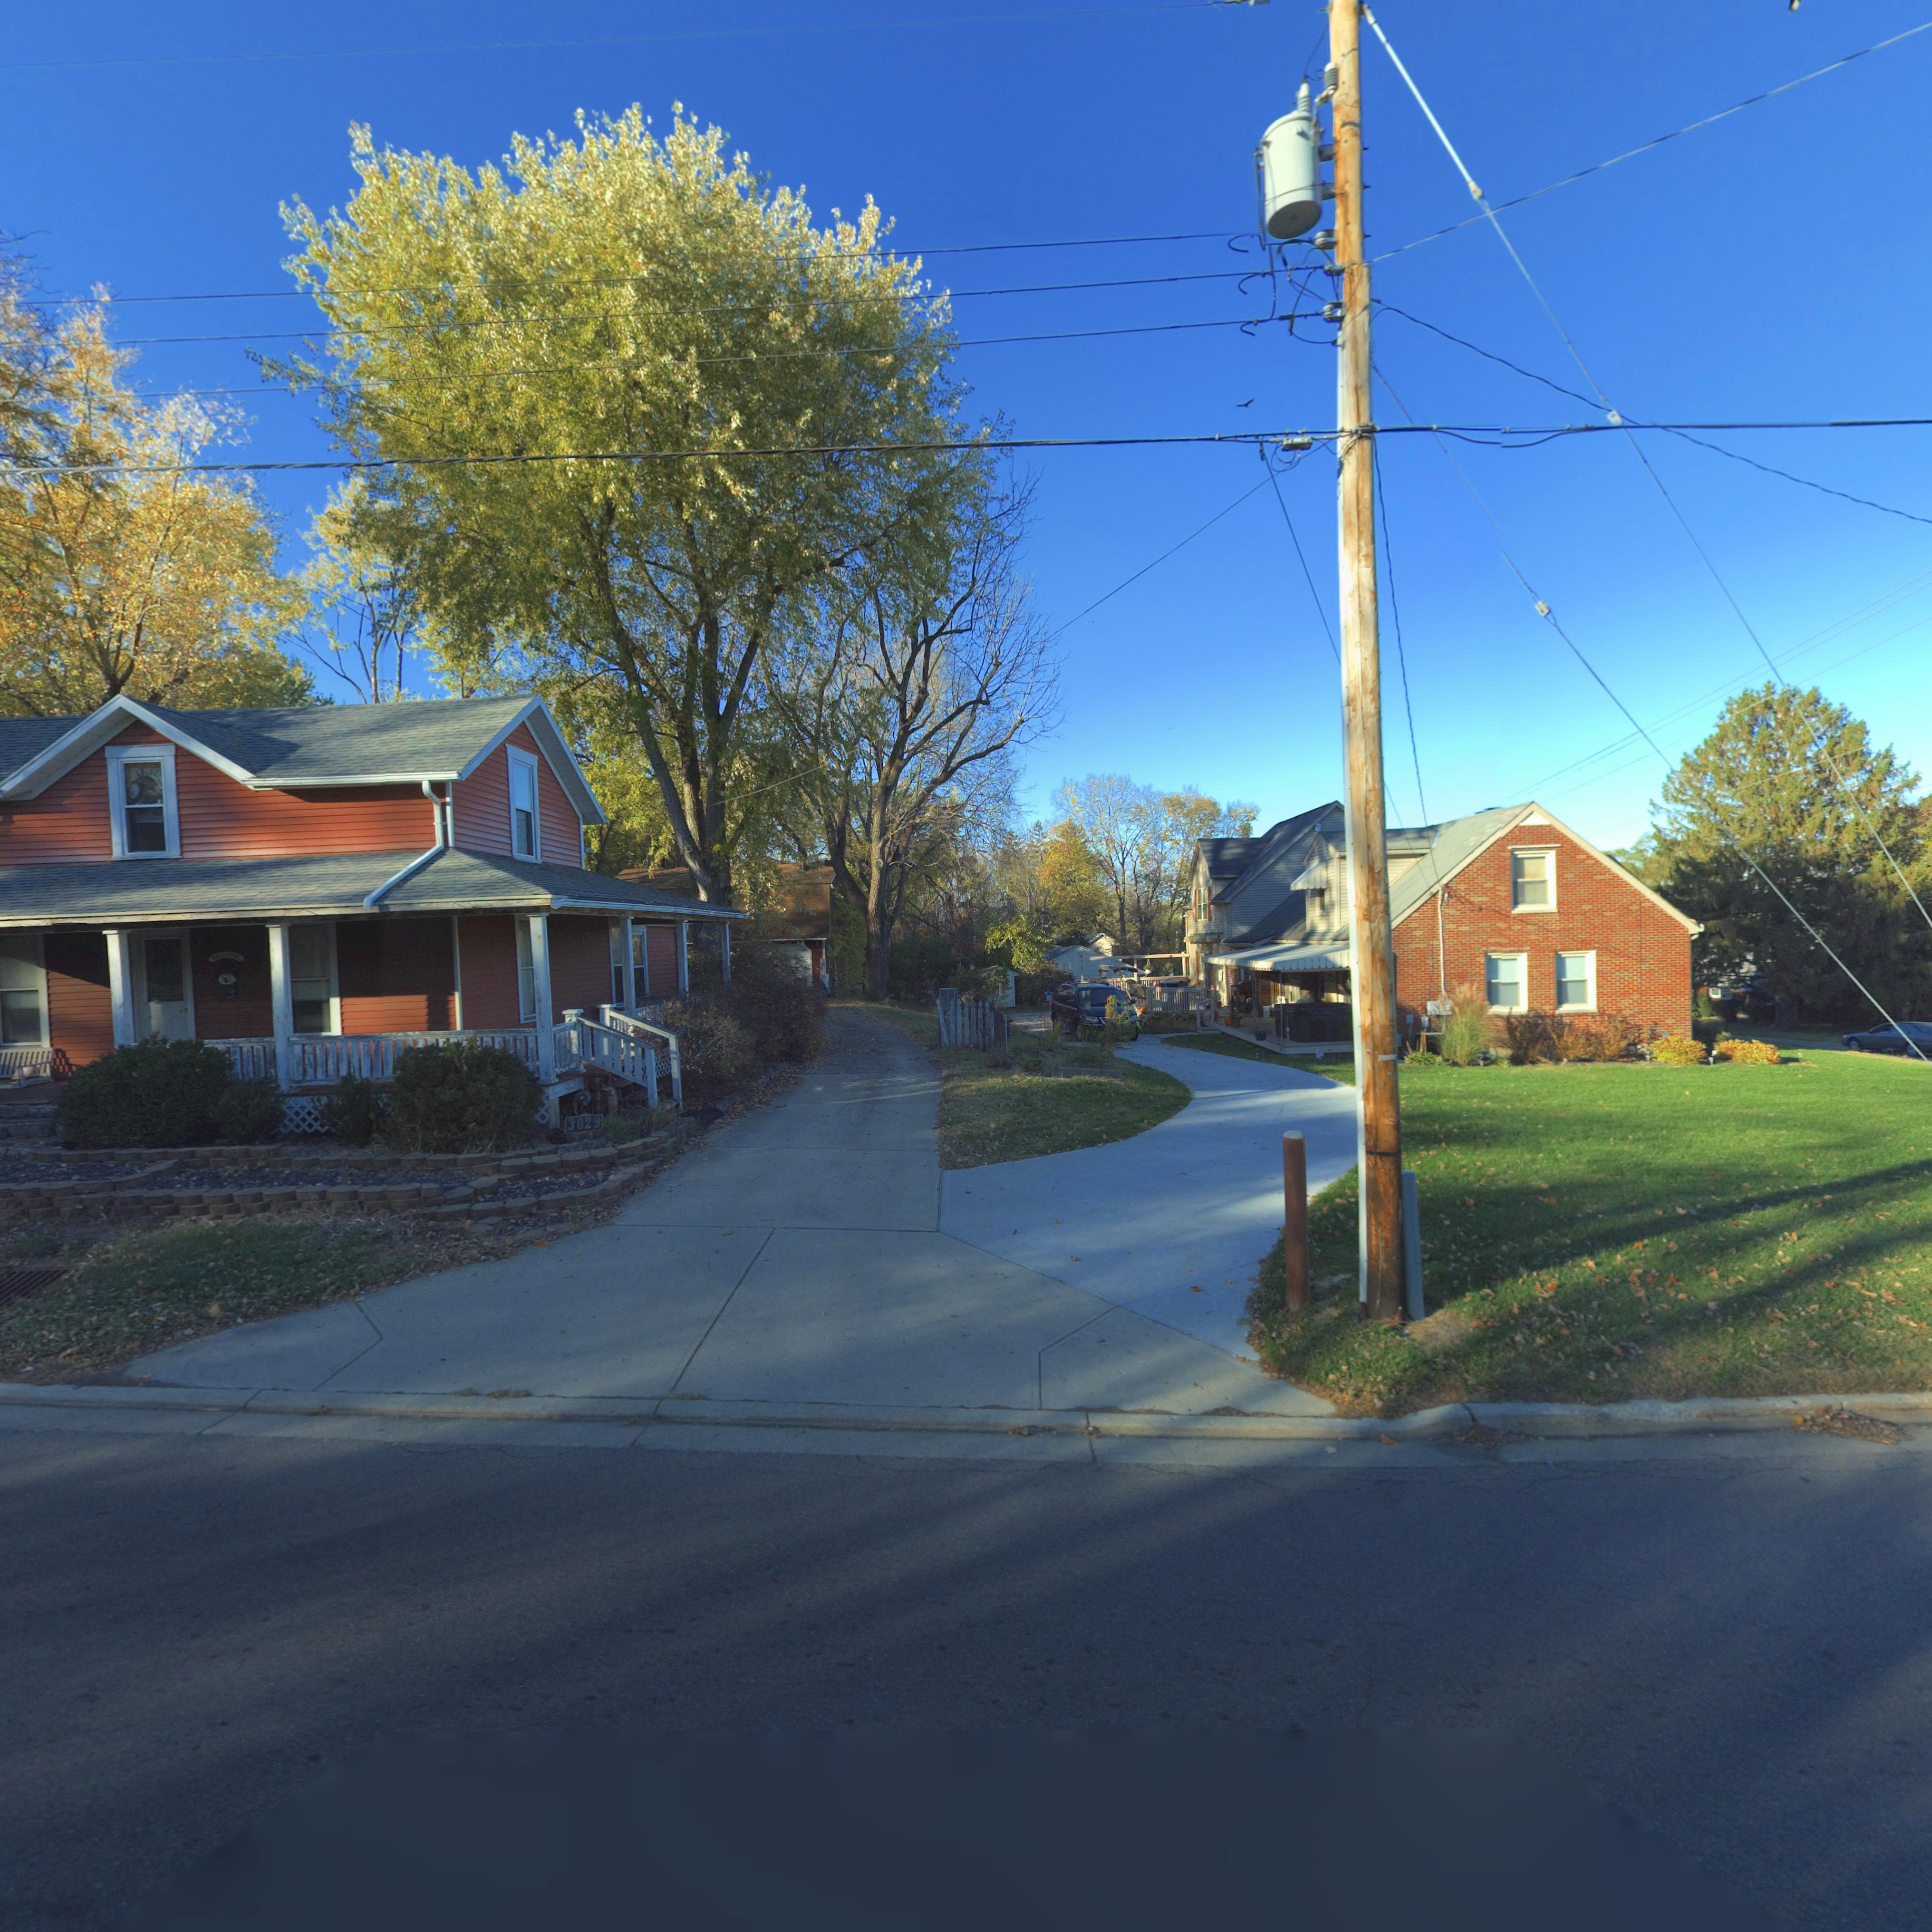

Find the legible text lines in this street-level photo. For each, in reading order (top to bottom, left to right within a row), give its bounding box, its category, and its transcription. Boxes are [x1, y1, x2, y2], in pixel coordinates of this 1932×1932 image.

[566, 1115, 602, 1133] StreetNumber: 3029